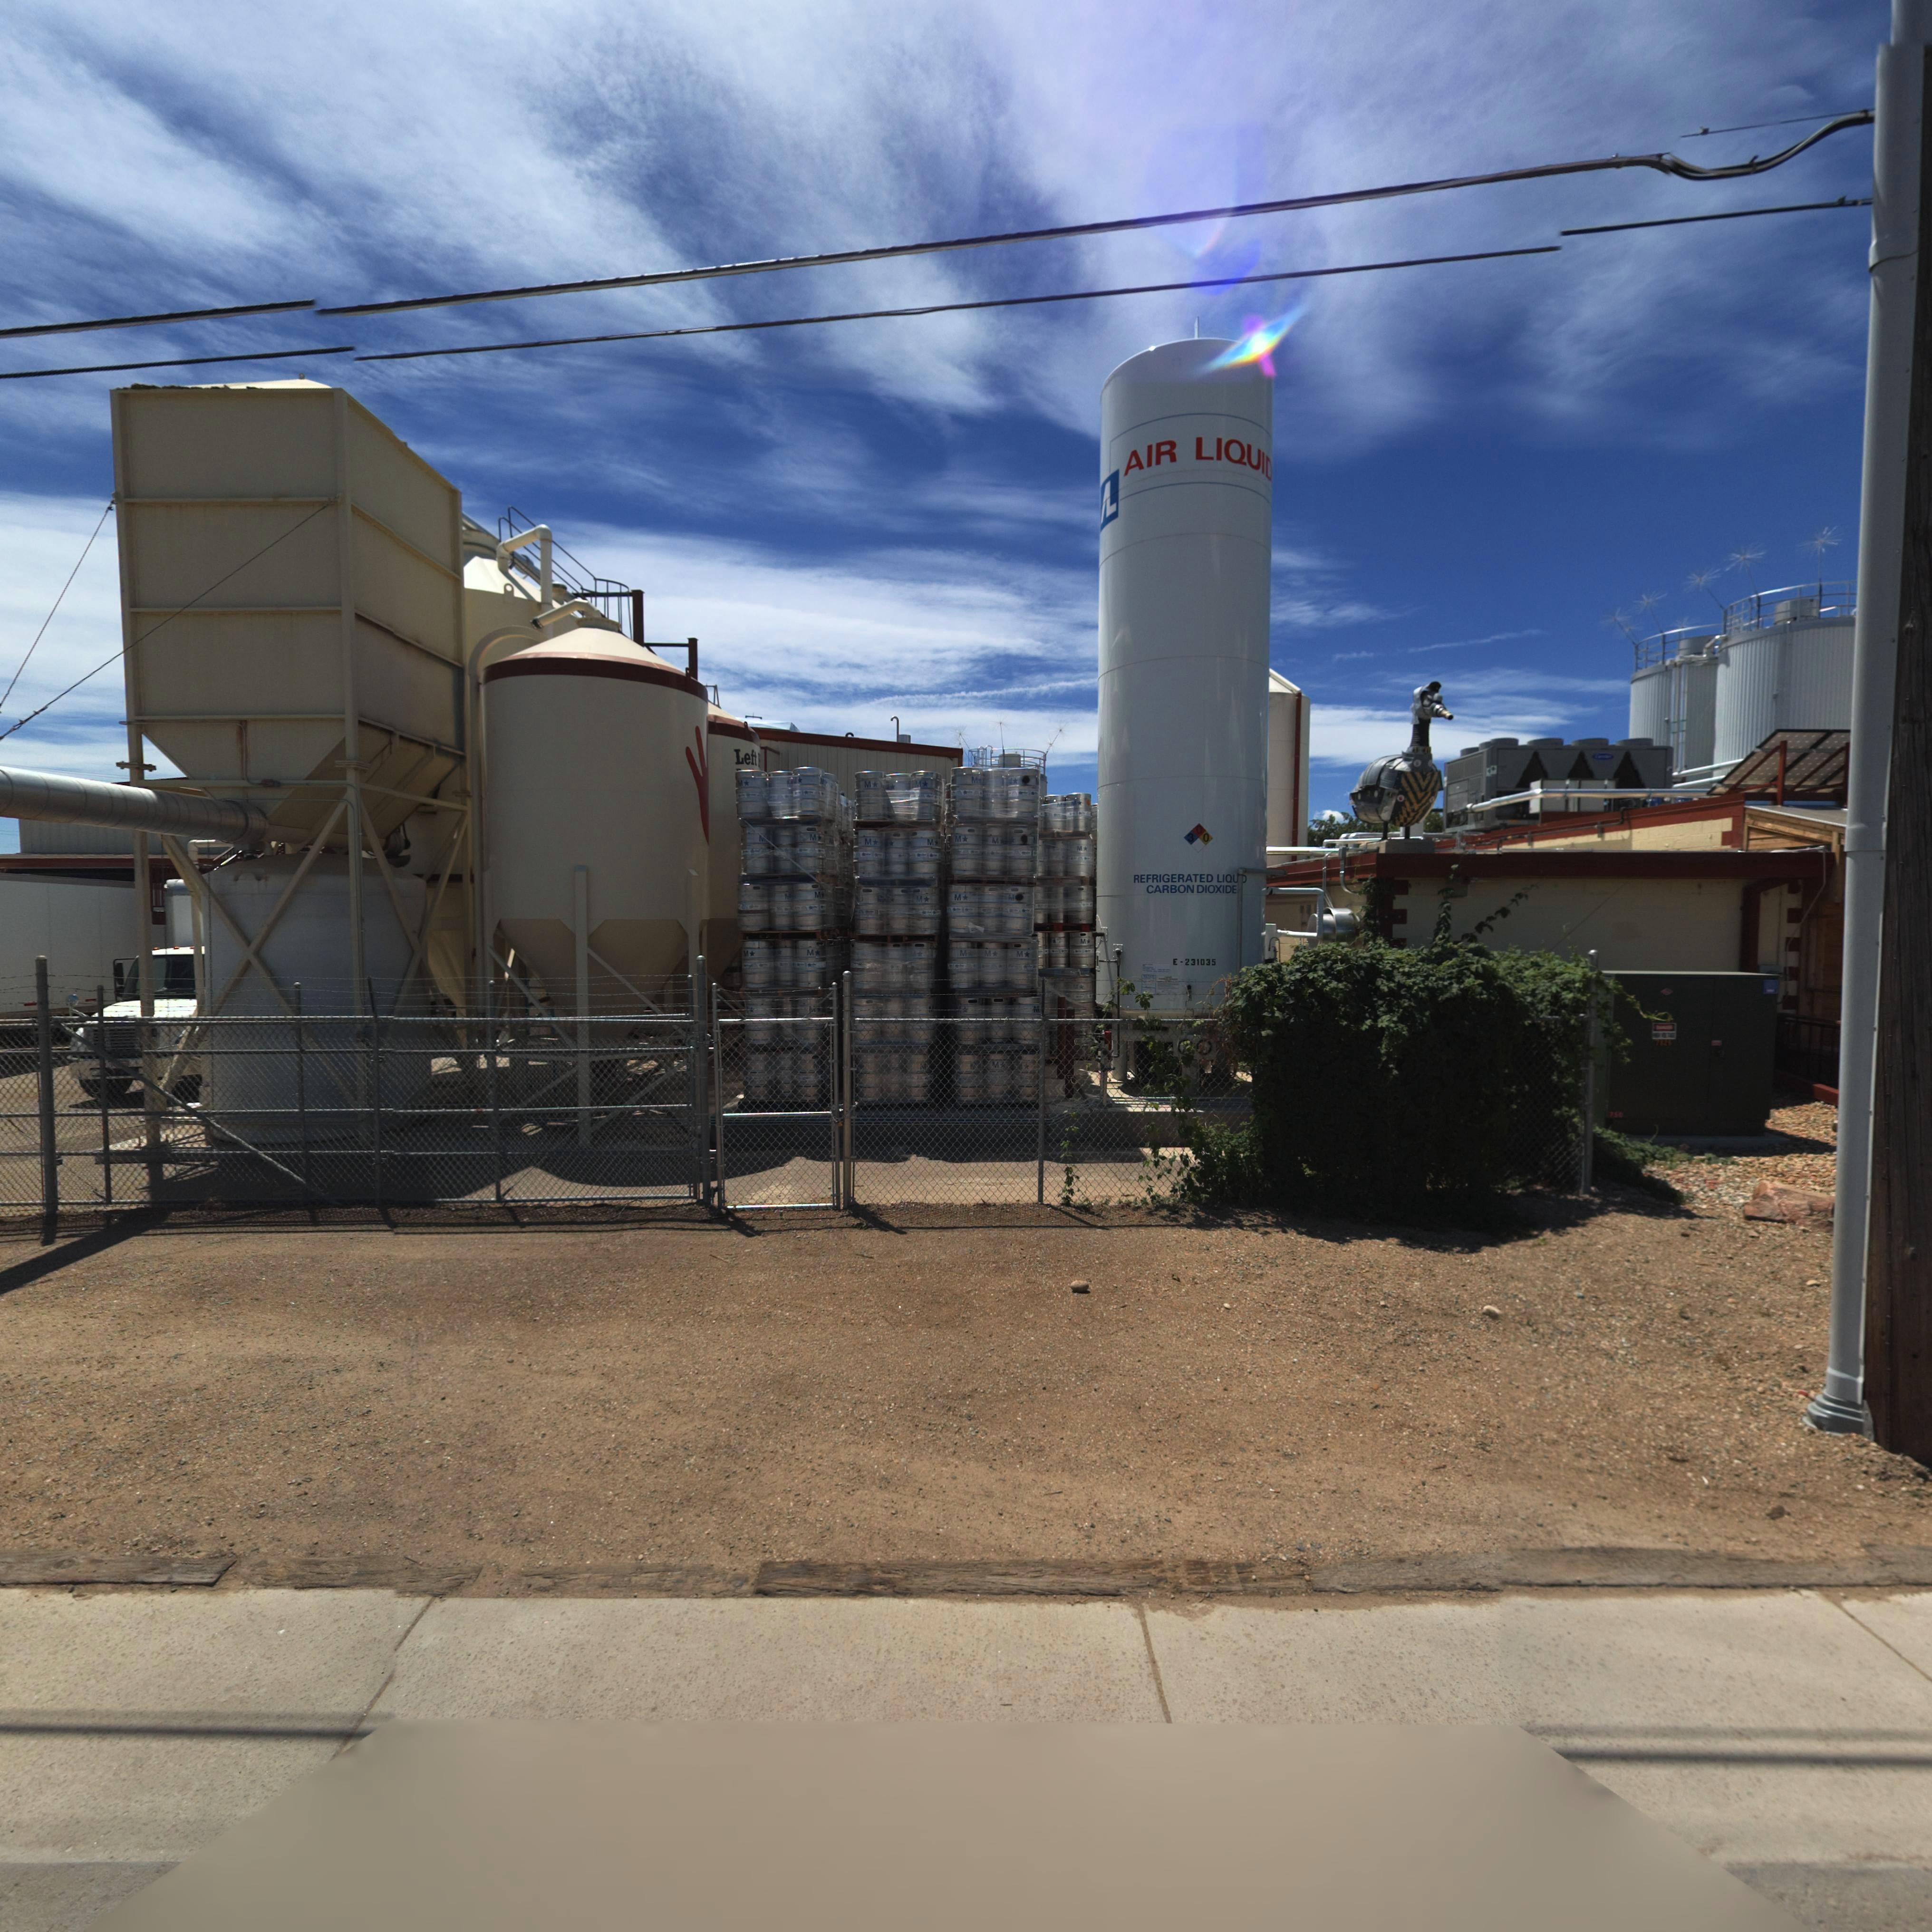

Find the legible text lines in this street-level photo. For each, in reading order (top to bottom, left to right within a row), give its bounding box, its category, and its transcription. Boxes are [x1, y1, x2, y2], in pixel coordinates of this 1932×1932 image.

[733, 748, 757, 767] BusinessName: Left